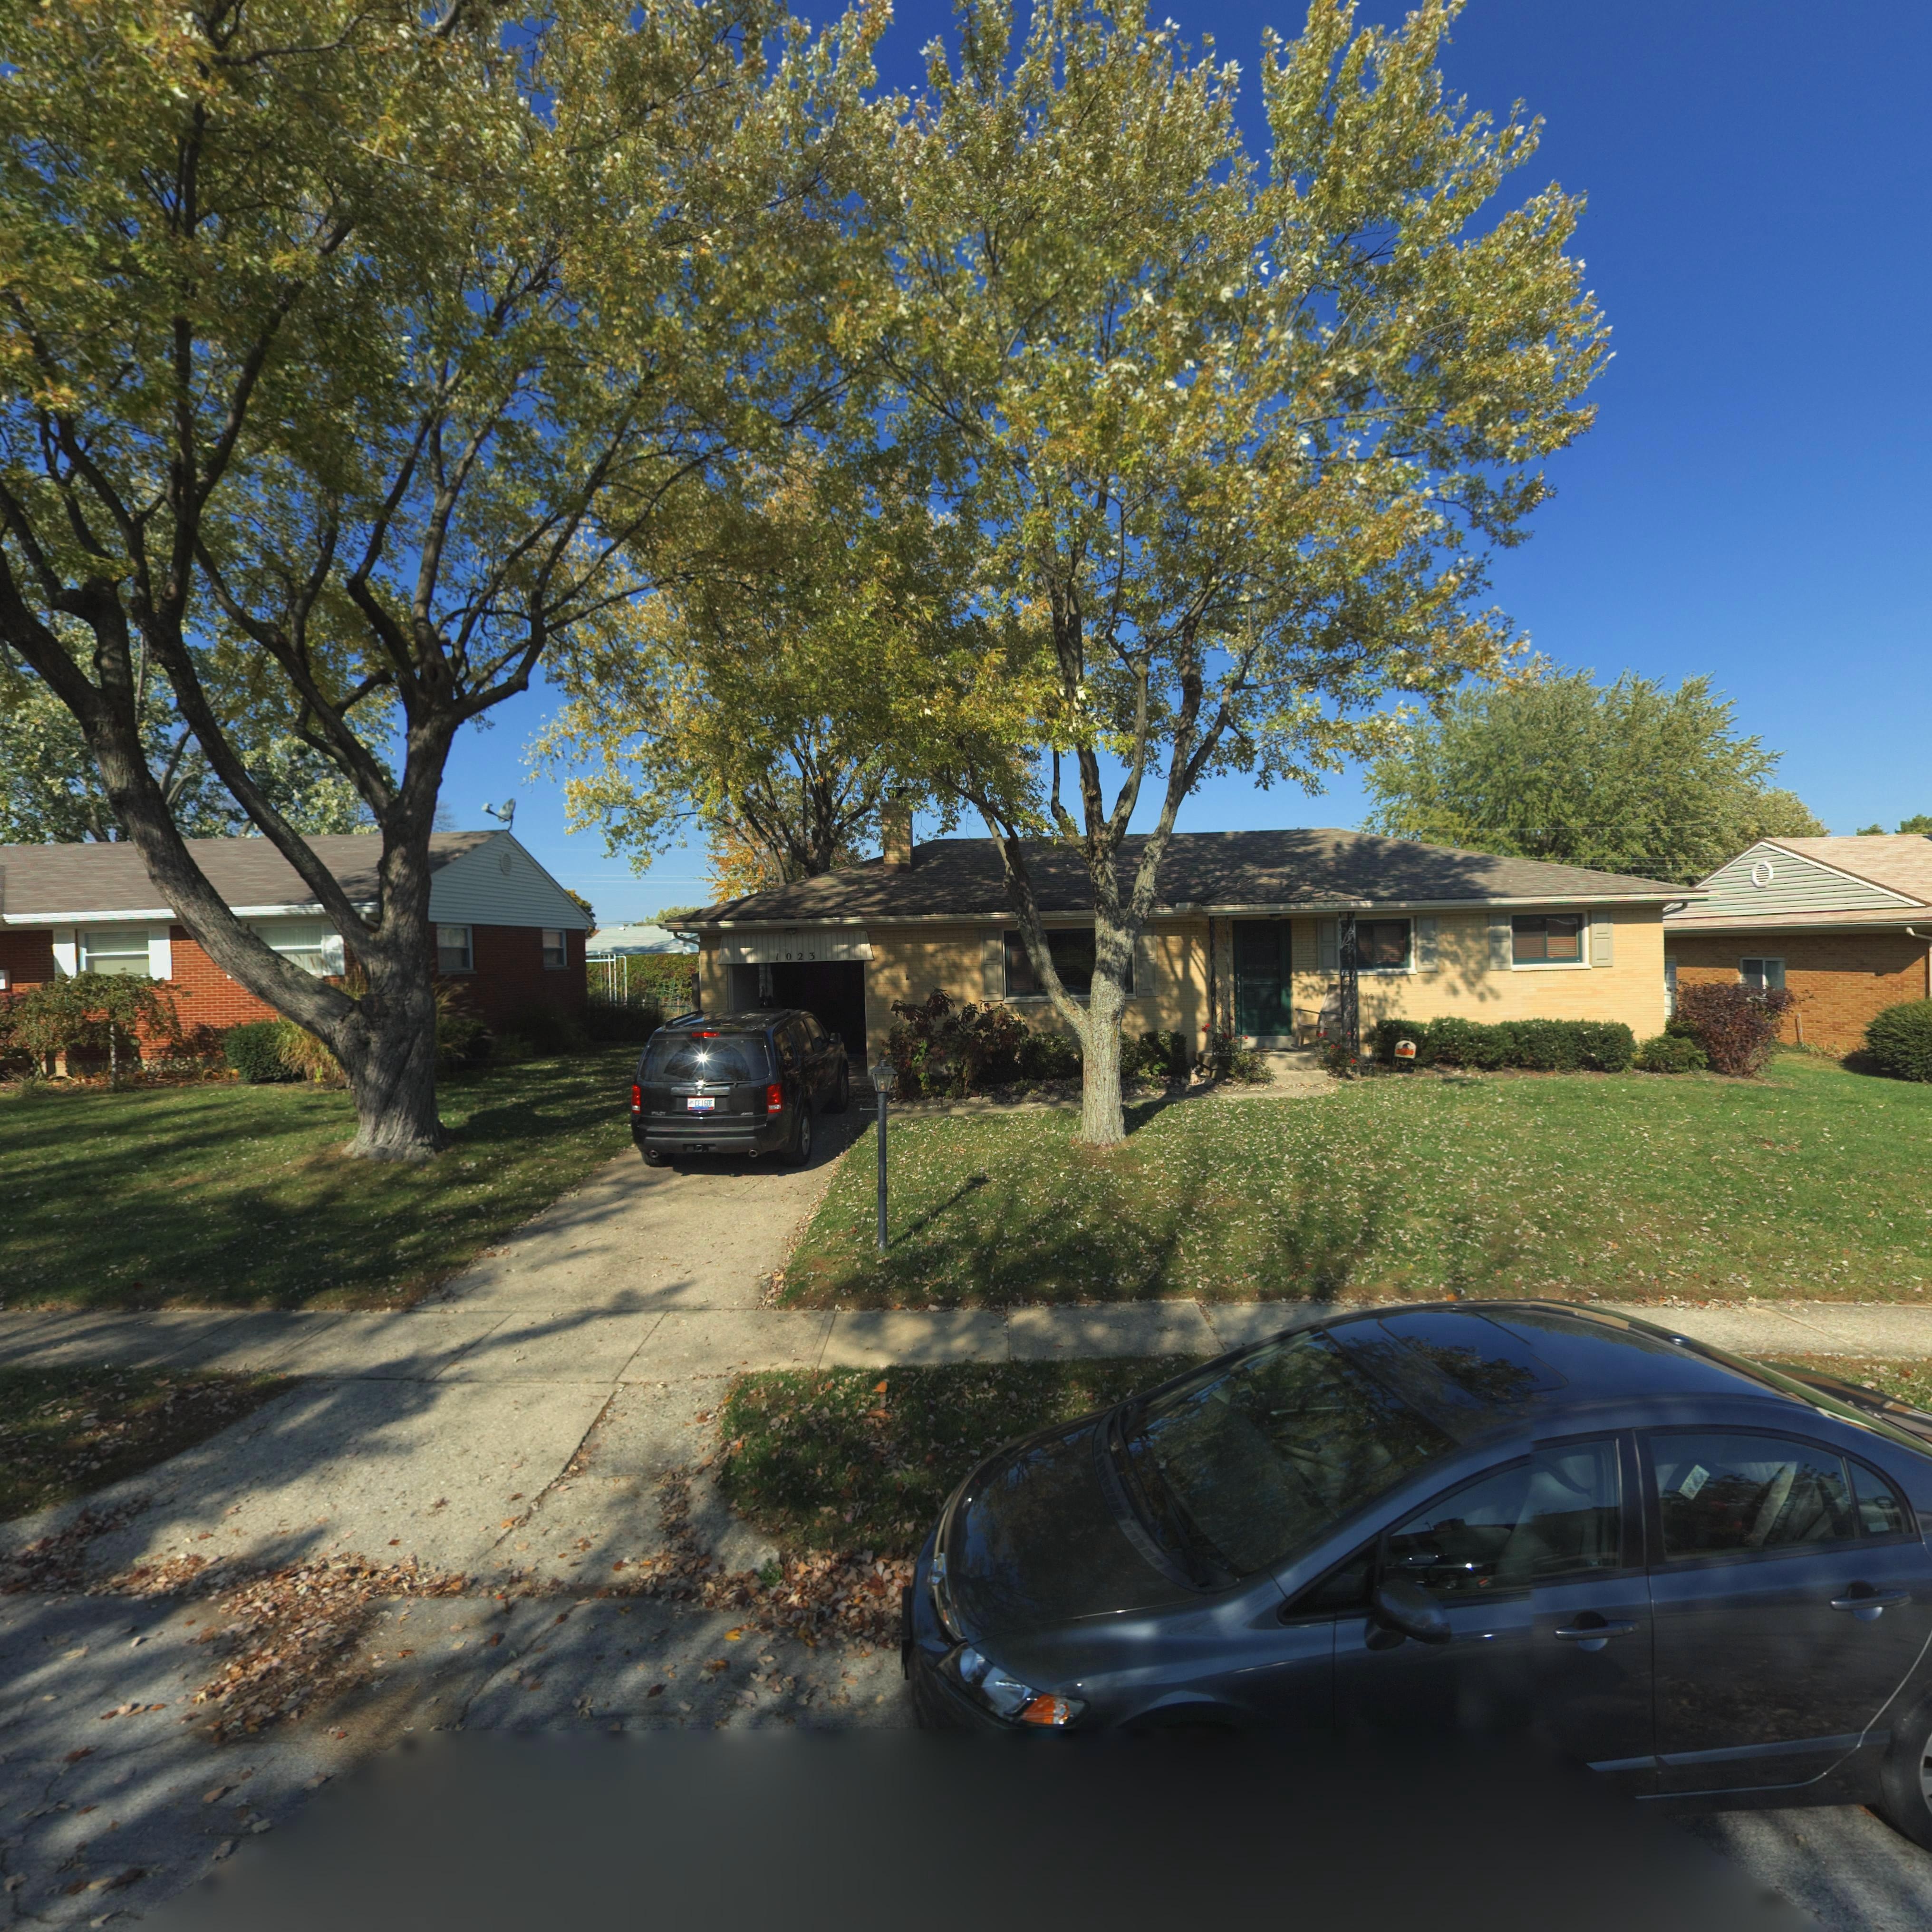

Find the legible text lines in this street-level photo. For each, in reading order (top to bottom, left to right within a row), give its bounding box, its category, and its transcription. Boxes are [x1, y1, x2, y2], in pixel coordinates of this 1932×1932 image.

[774, 951, 817, 962] StreetNumber: 1023